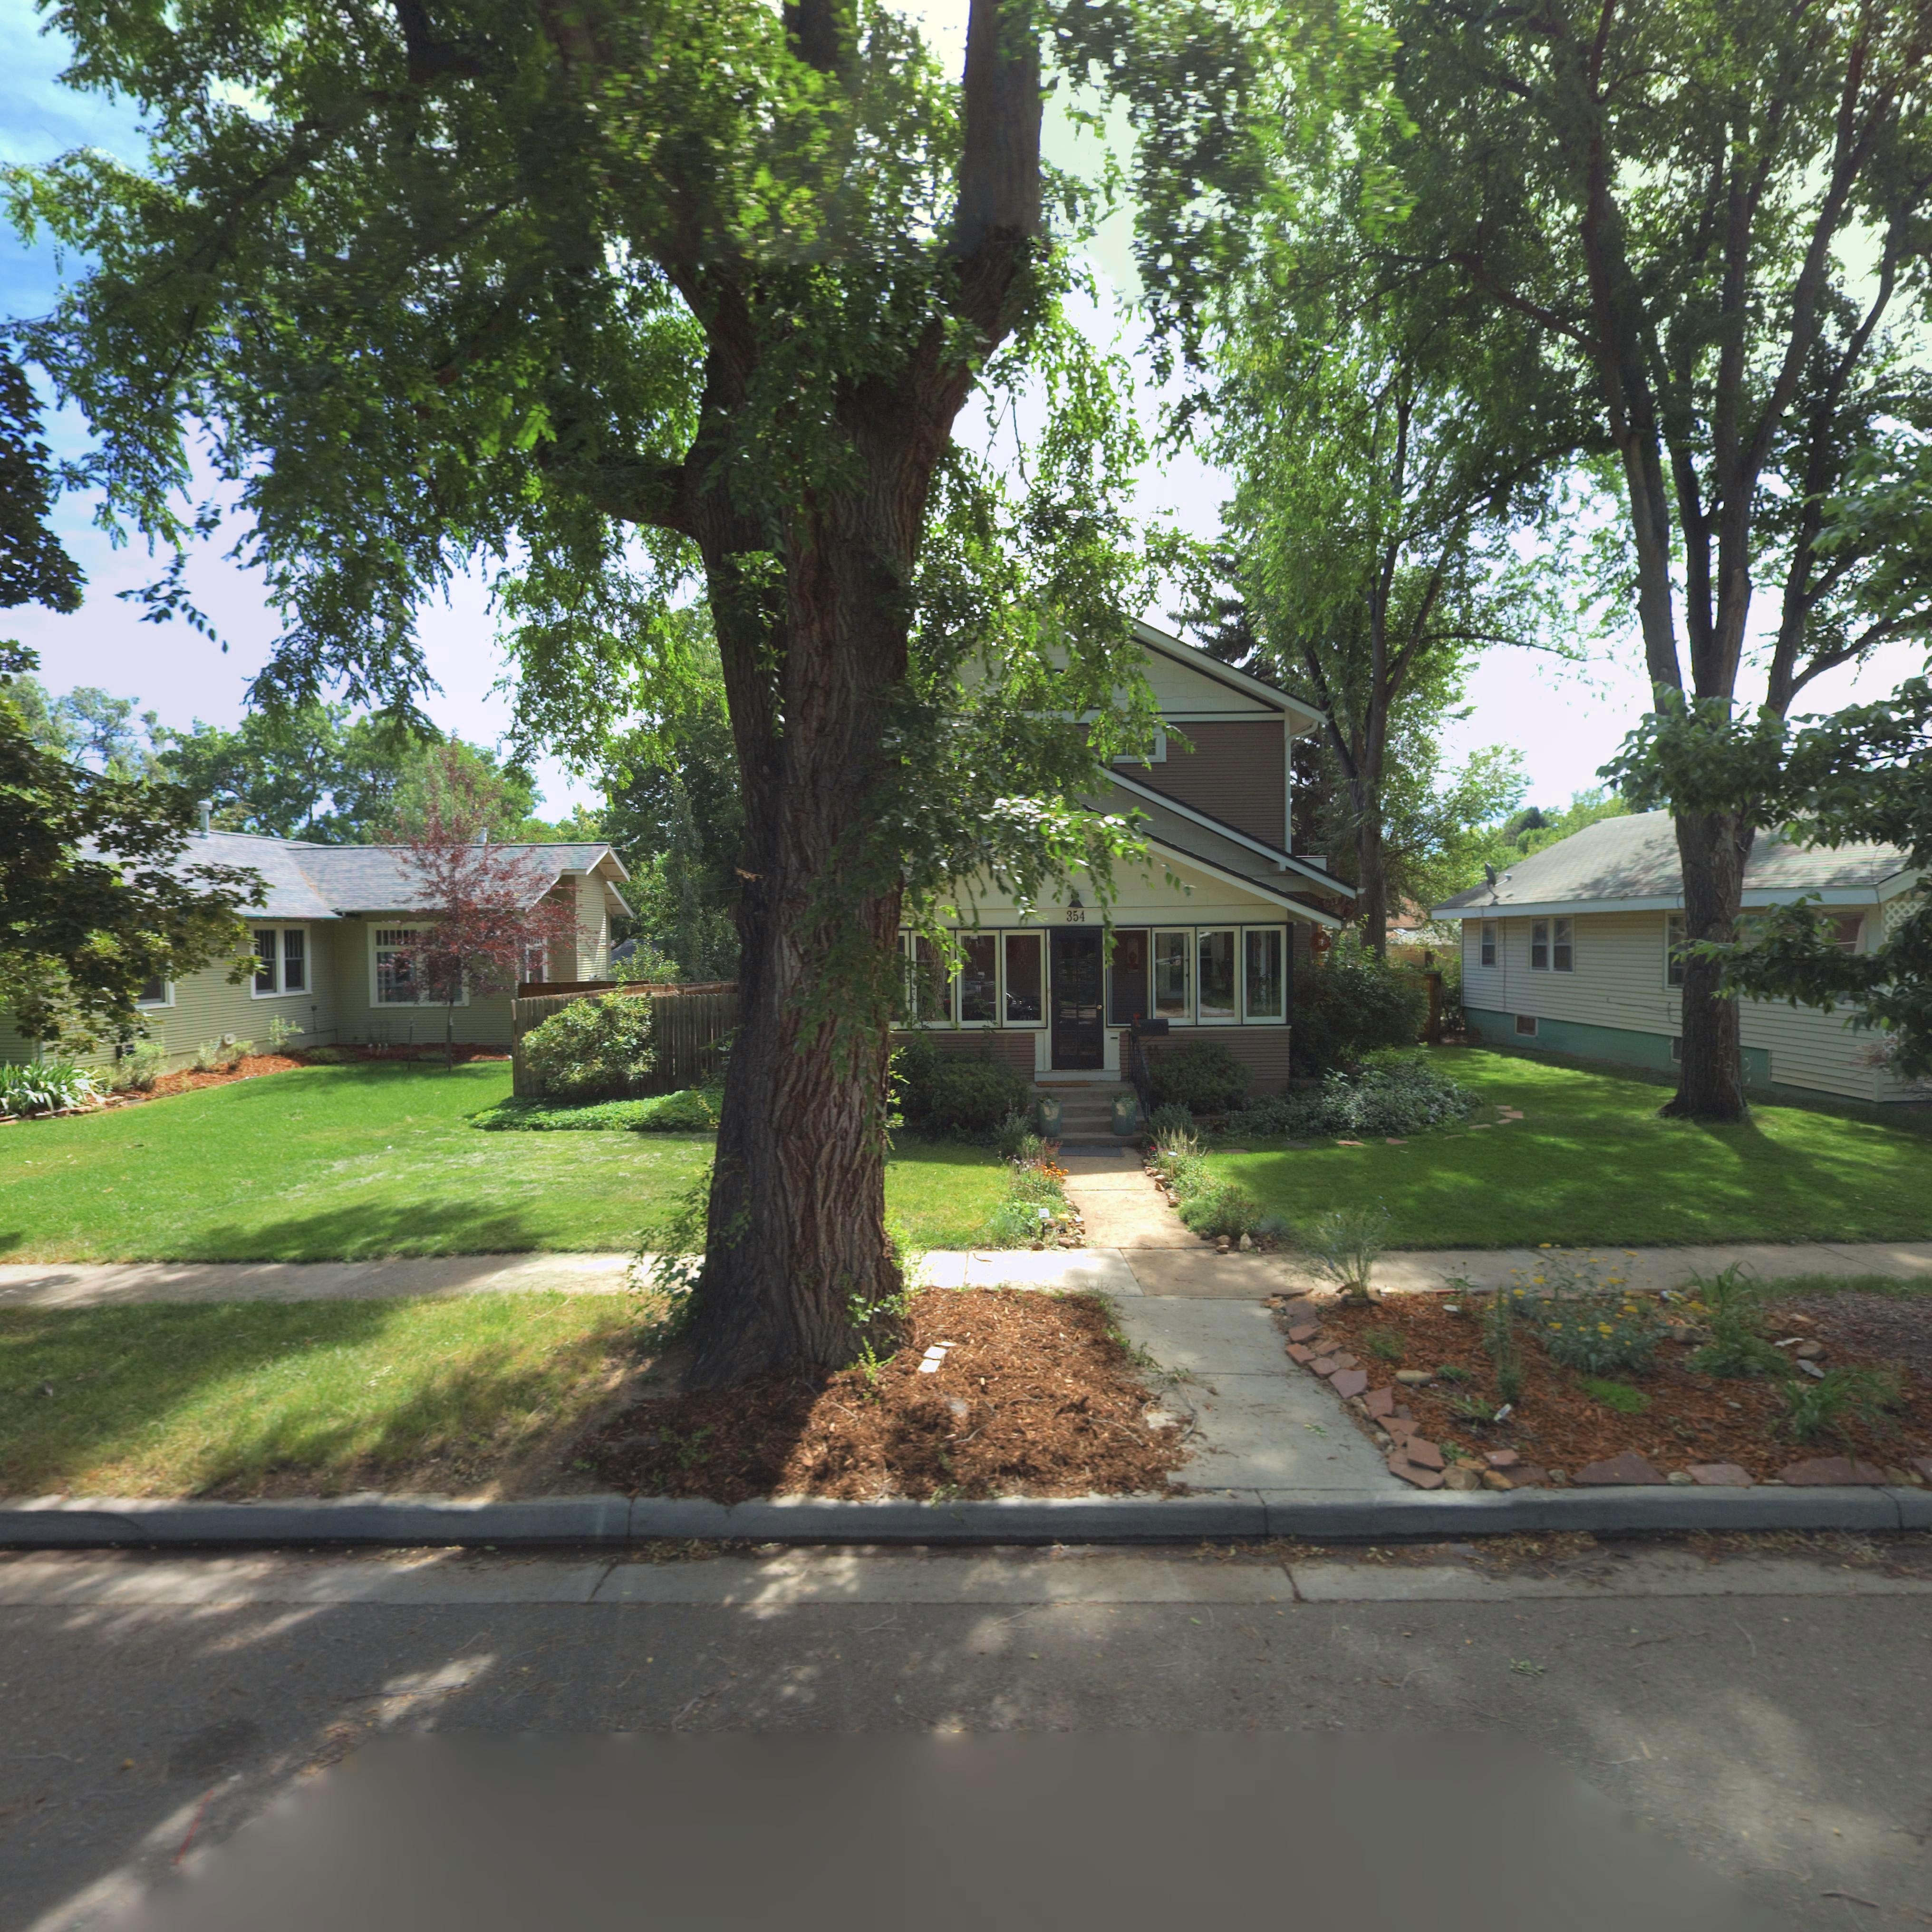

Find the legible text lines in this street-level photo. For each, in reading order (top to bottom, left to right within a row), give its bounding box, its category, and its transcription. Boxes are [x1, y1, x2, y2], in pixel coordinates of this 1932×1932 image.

[1066, 910, 1085, 922] StreetNumber: 354